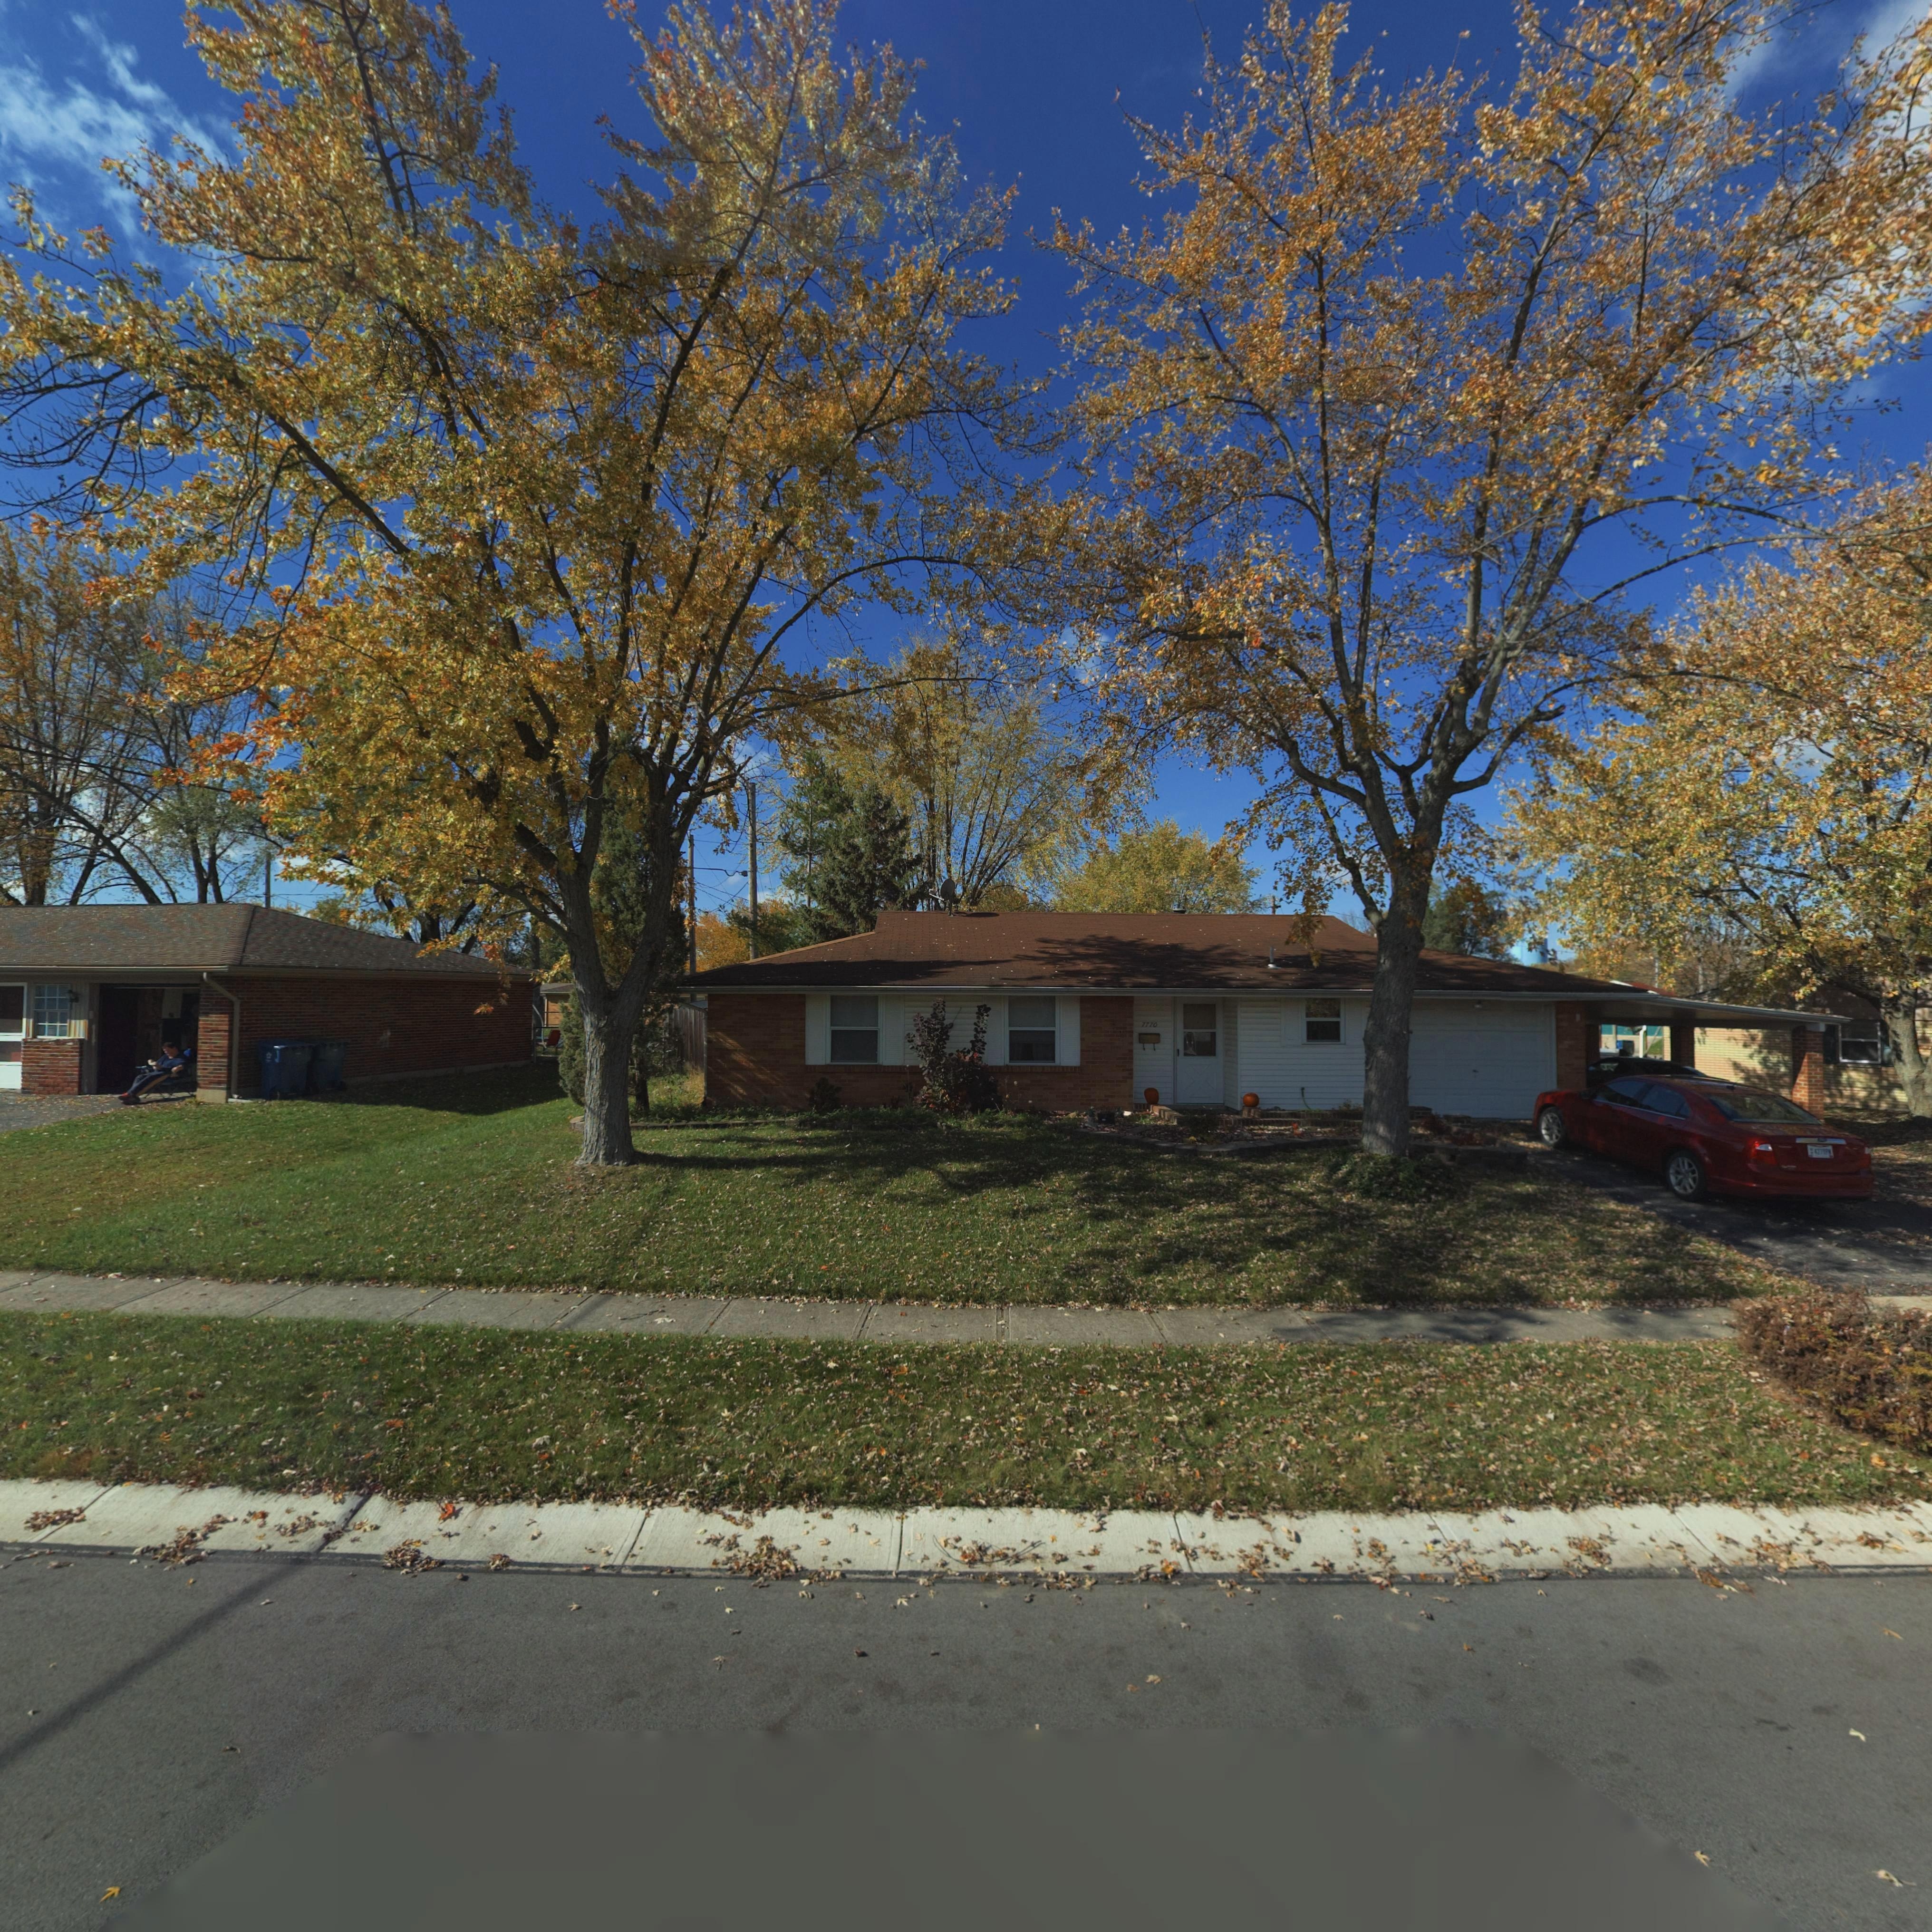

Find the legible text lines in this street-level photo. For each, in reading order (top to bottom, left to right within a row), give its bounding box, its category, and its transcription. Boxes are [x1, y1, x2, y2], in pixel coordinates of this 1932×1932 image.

[1140, 1021, 1159, 1028] StreetNumber: 7770